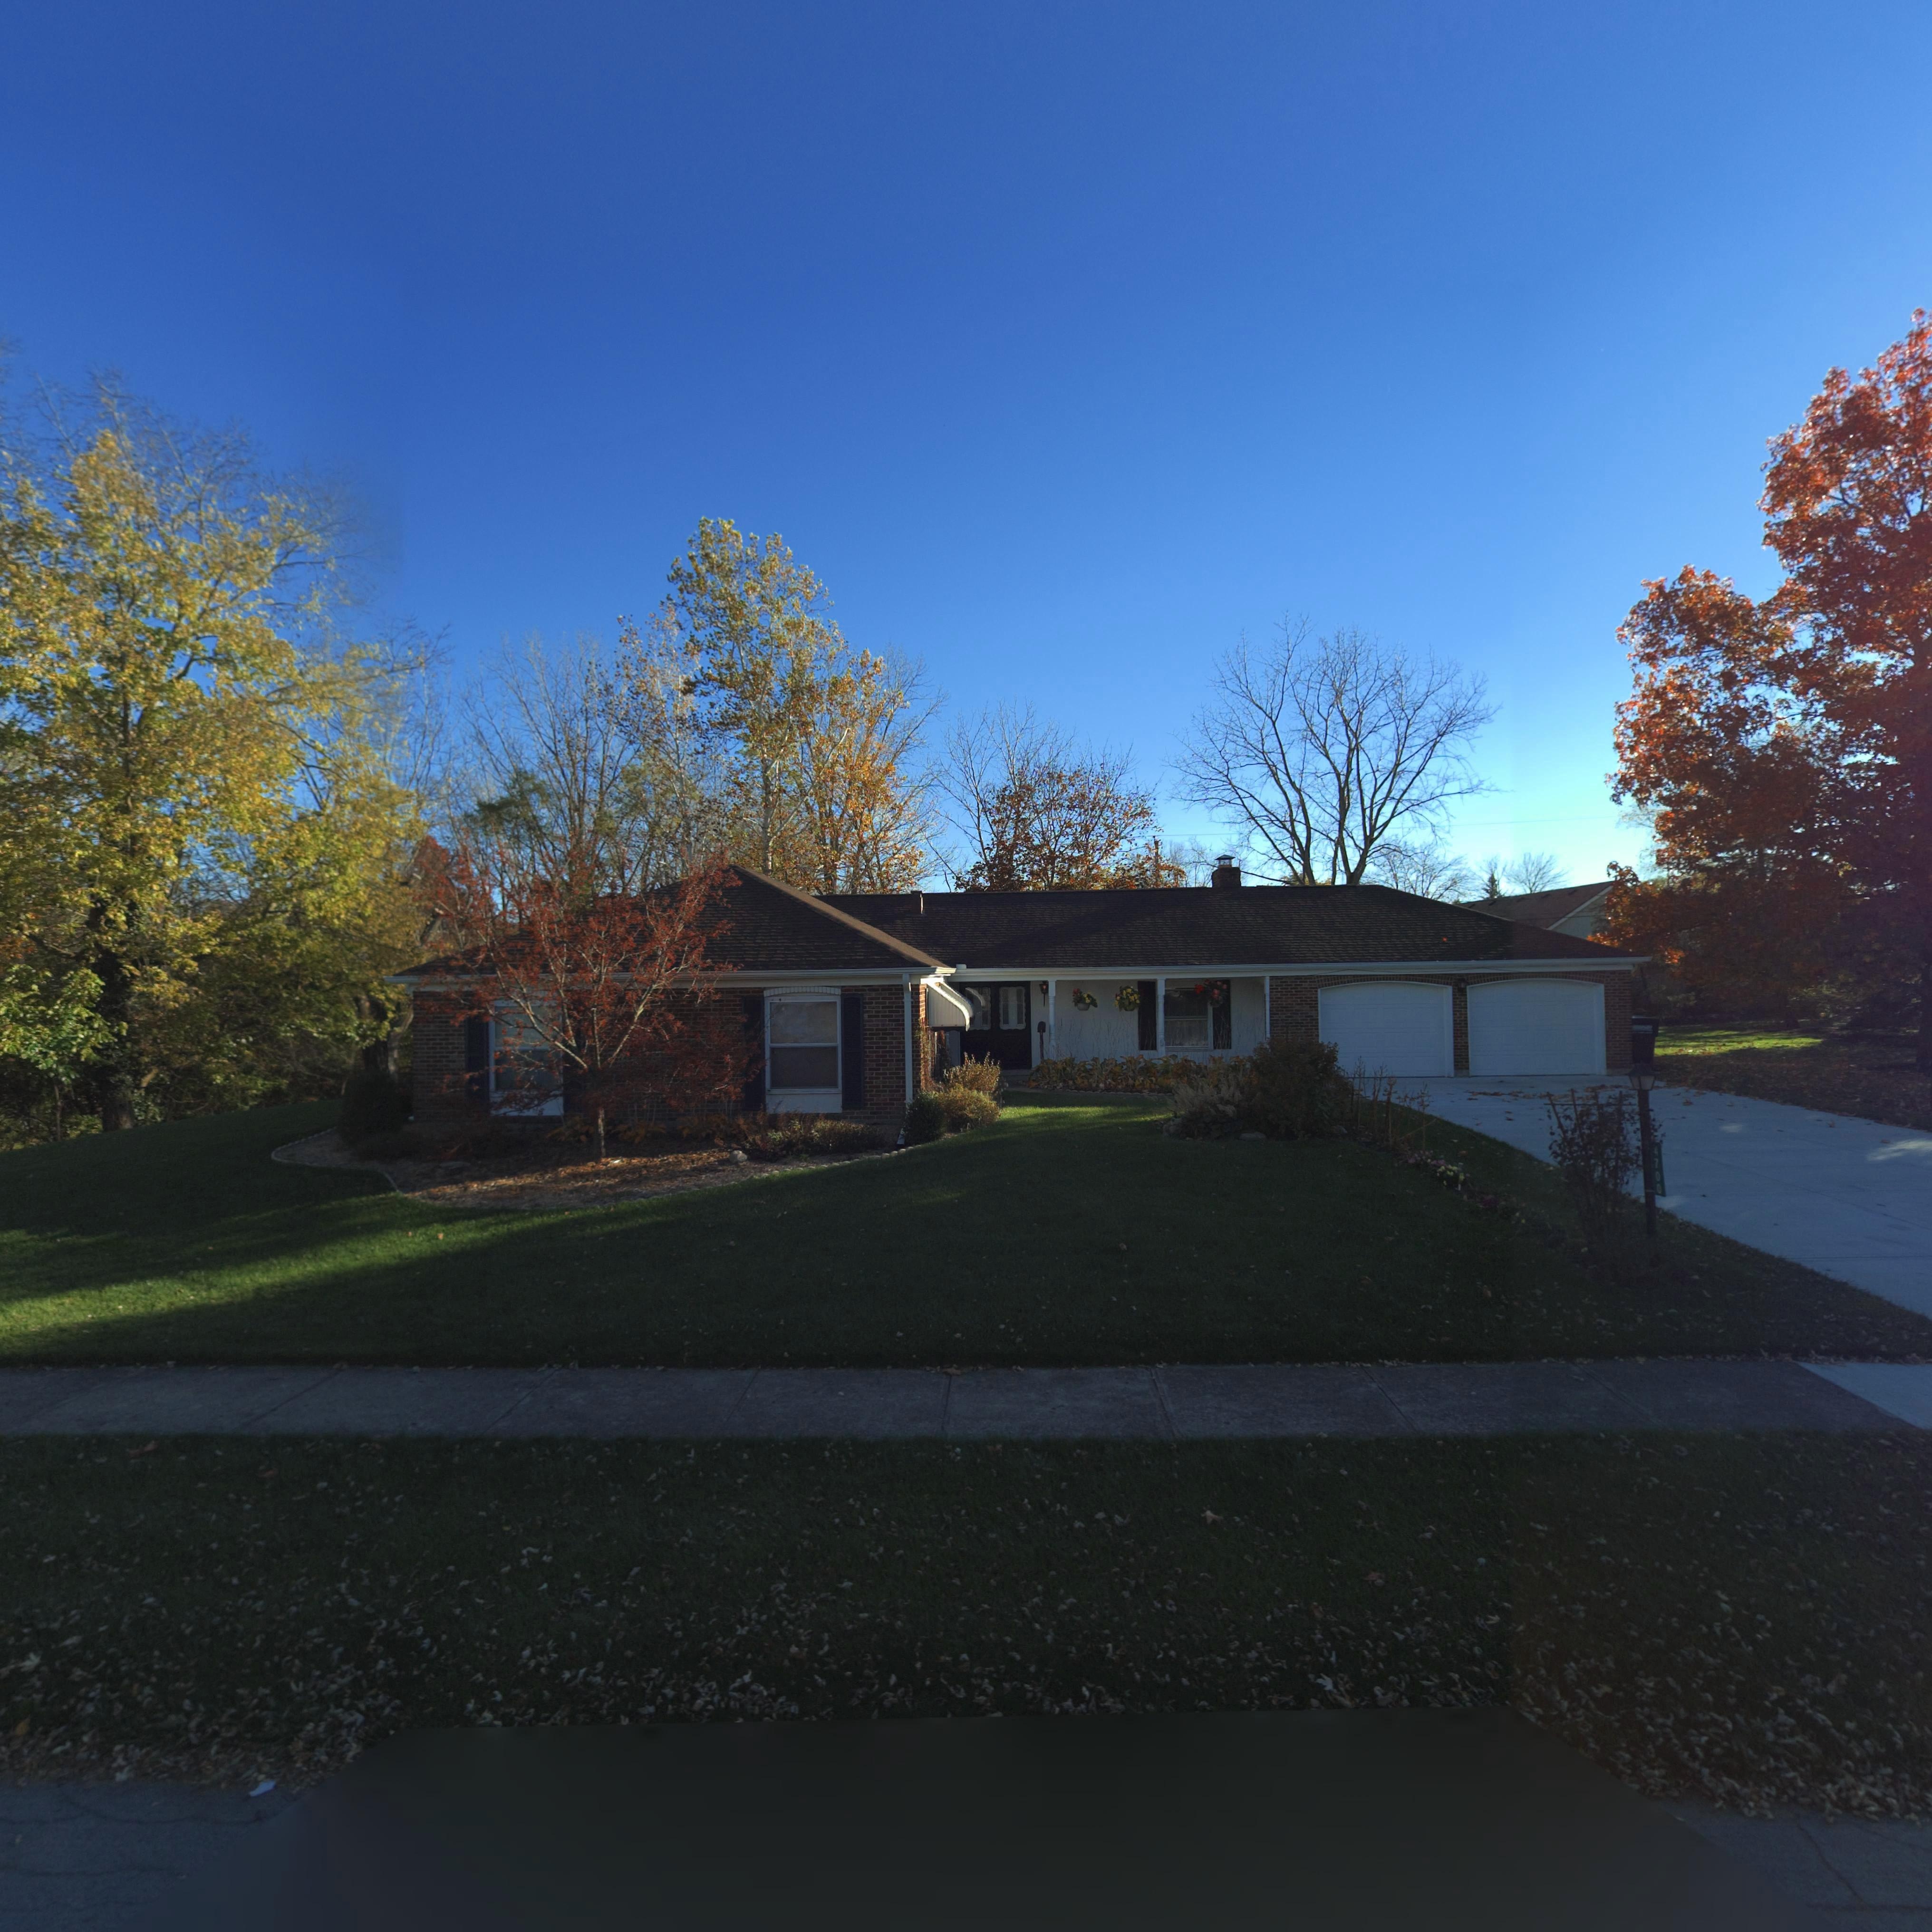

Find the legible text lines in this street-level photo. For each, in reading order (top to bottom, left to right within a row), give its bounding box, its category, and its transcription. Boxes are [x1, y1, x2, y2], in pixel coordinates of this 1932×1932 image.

[1652, 1144, 1663, 1196] StreetNumber: 4700